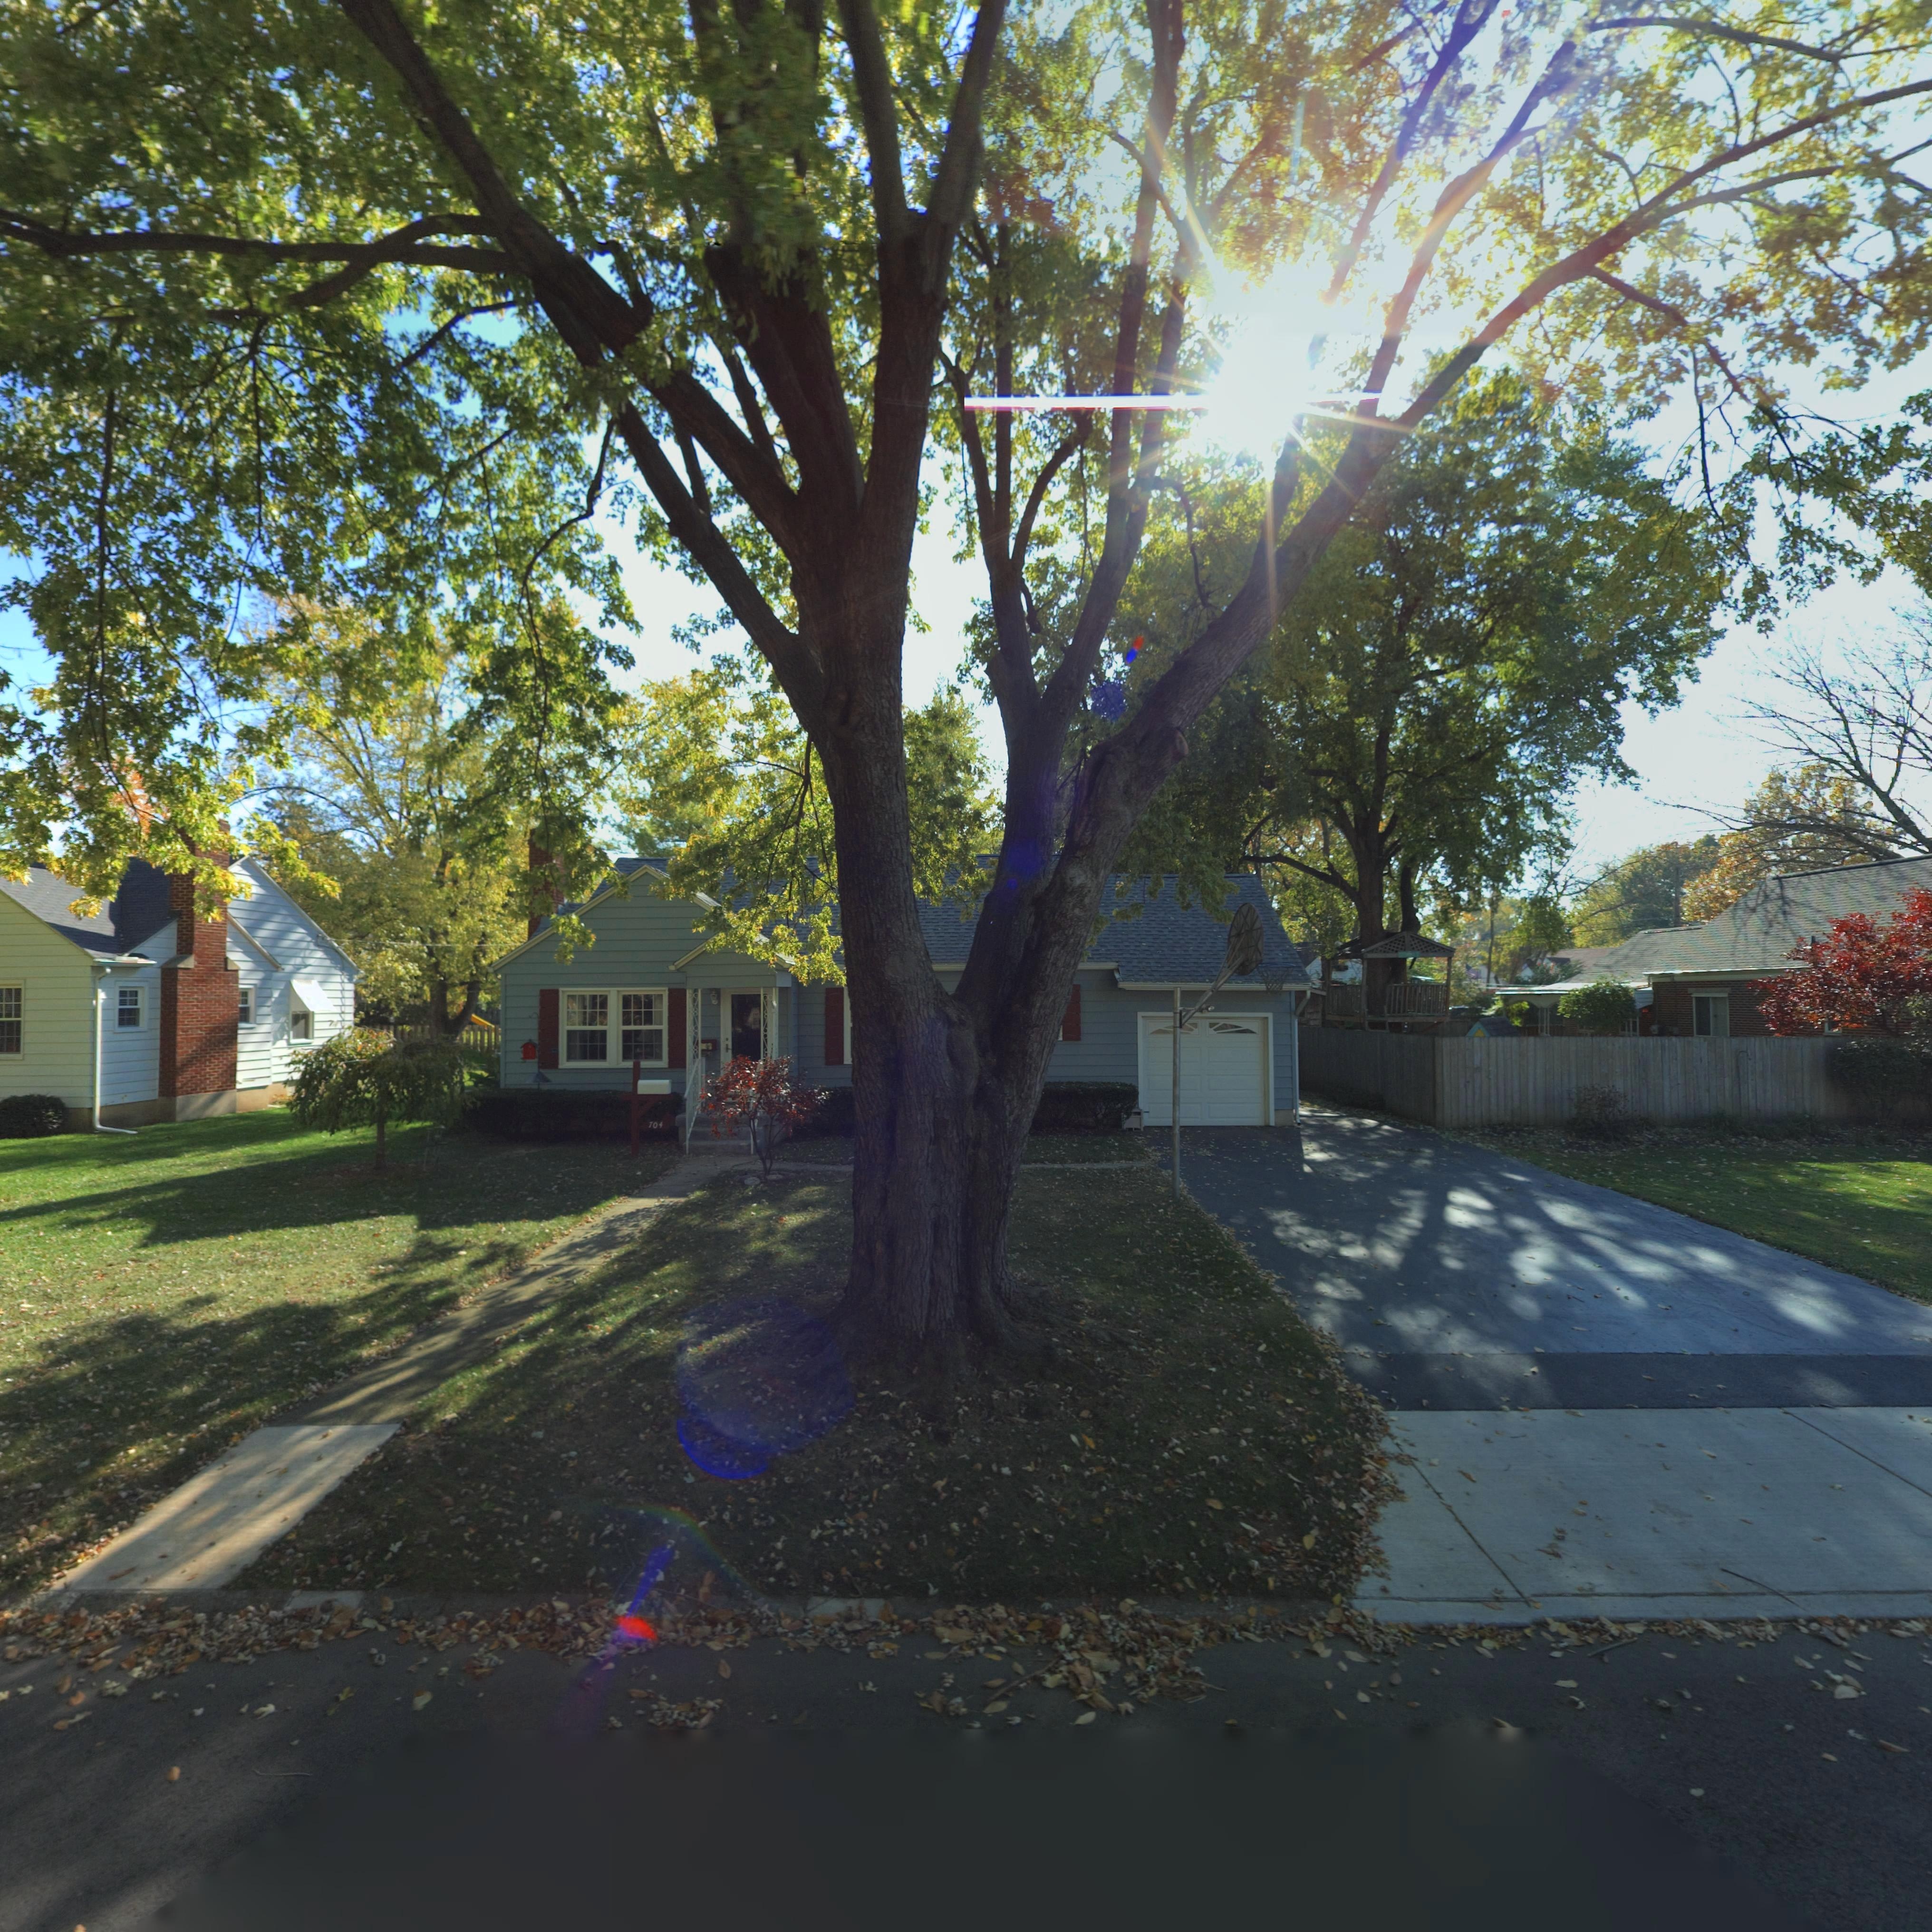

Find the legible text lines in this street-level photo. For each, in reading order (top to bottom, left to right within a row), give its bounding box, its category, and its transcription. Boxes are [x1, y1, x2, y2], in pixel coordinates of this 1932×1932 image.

[648, 1121, 664, 1129] StreetNumber: 704